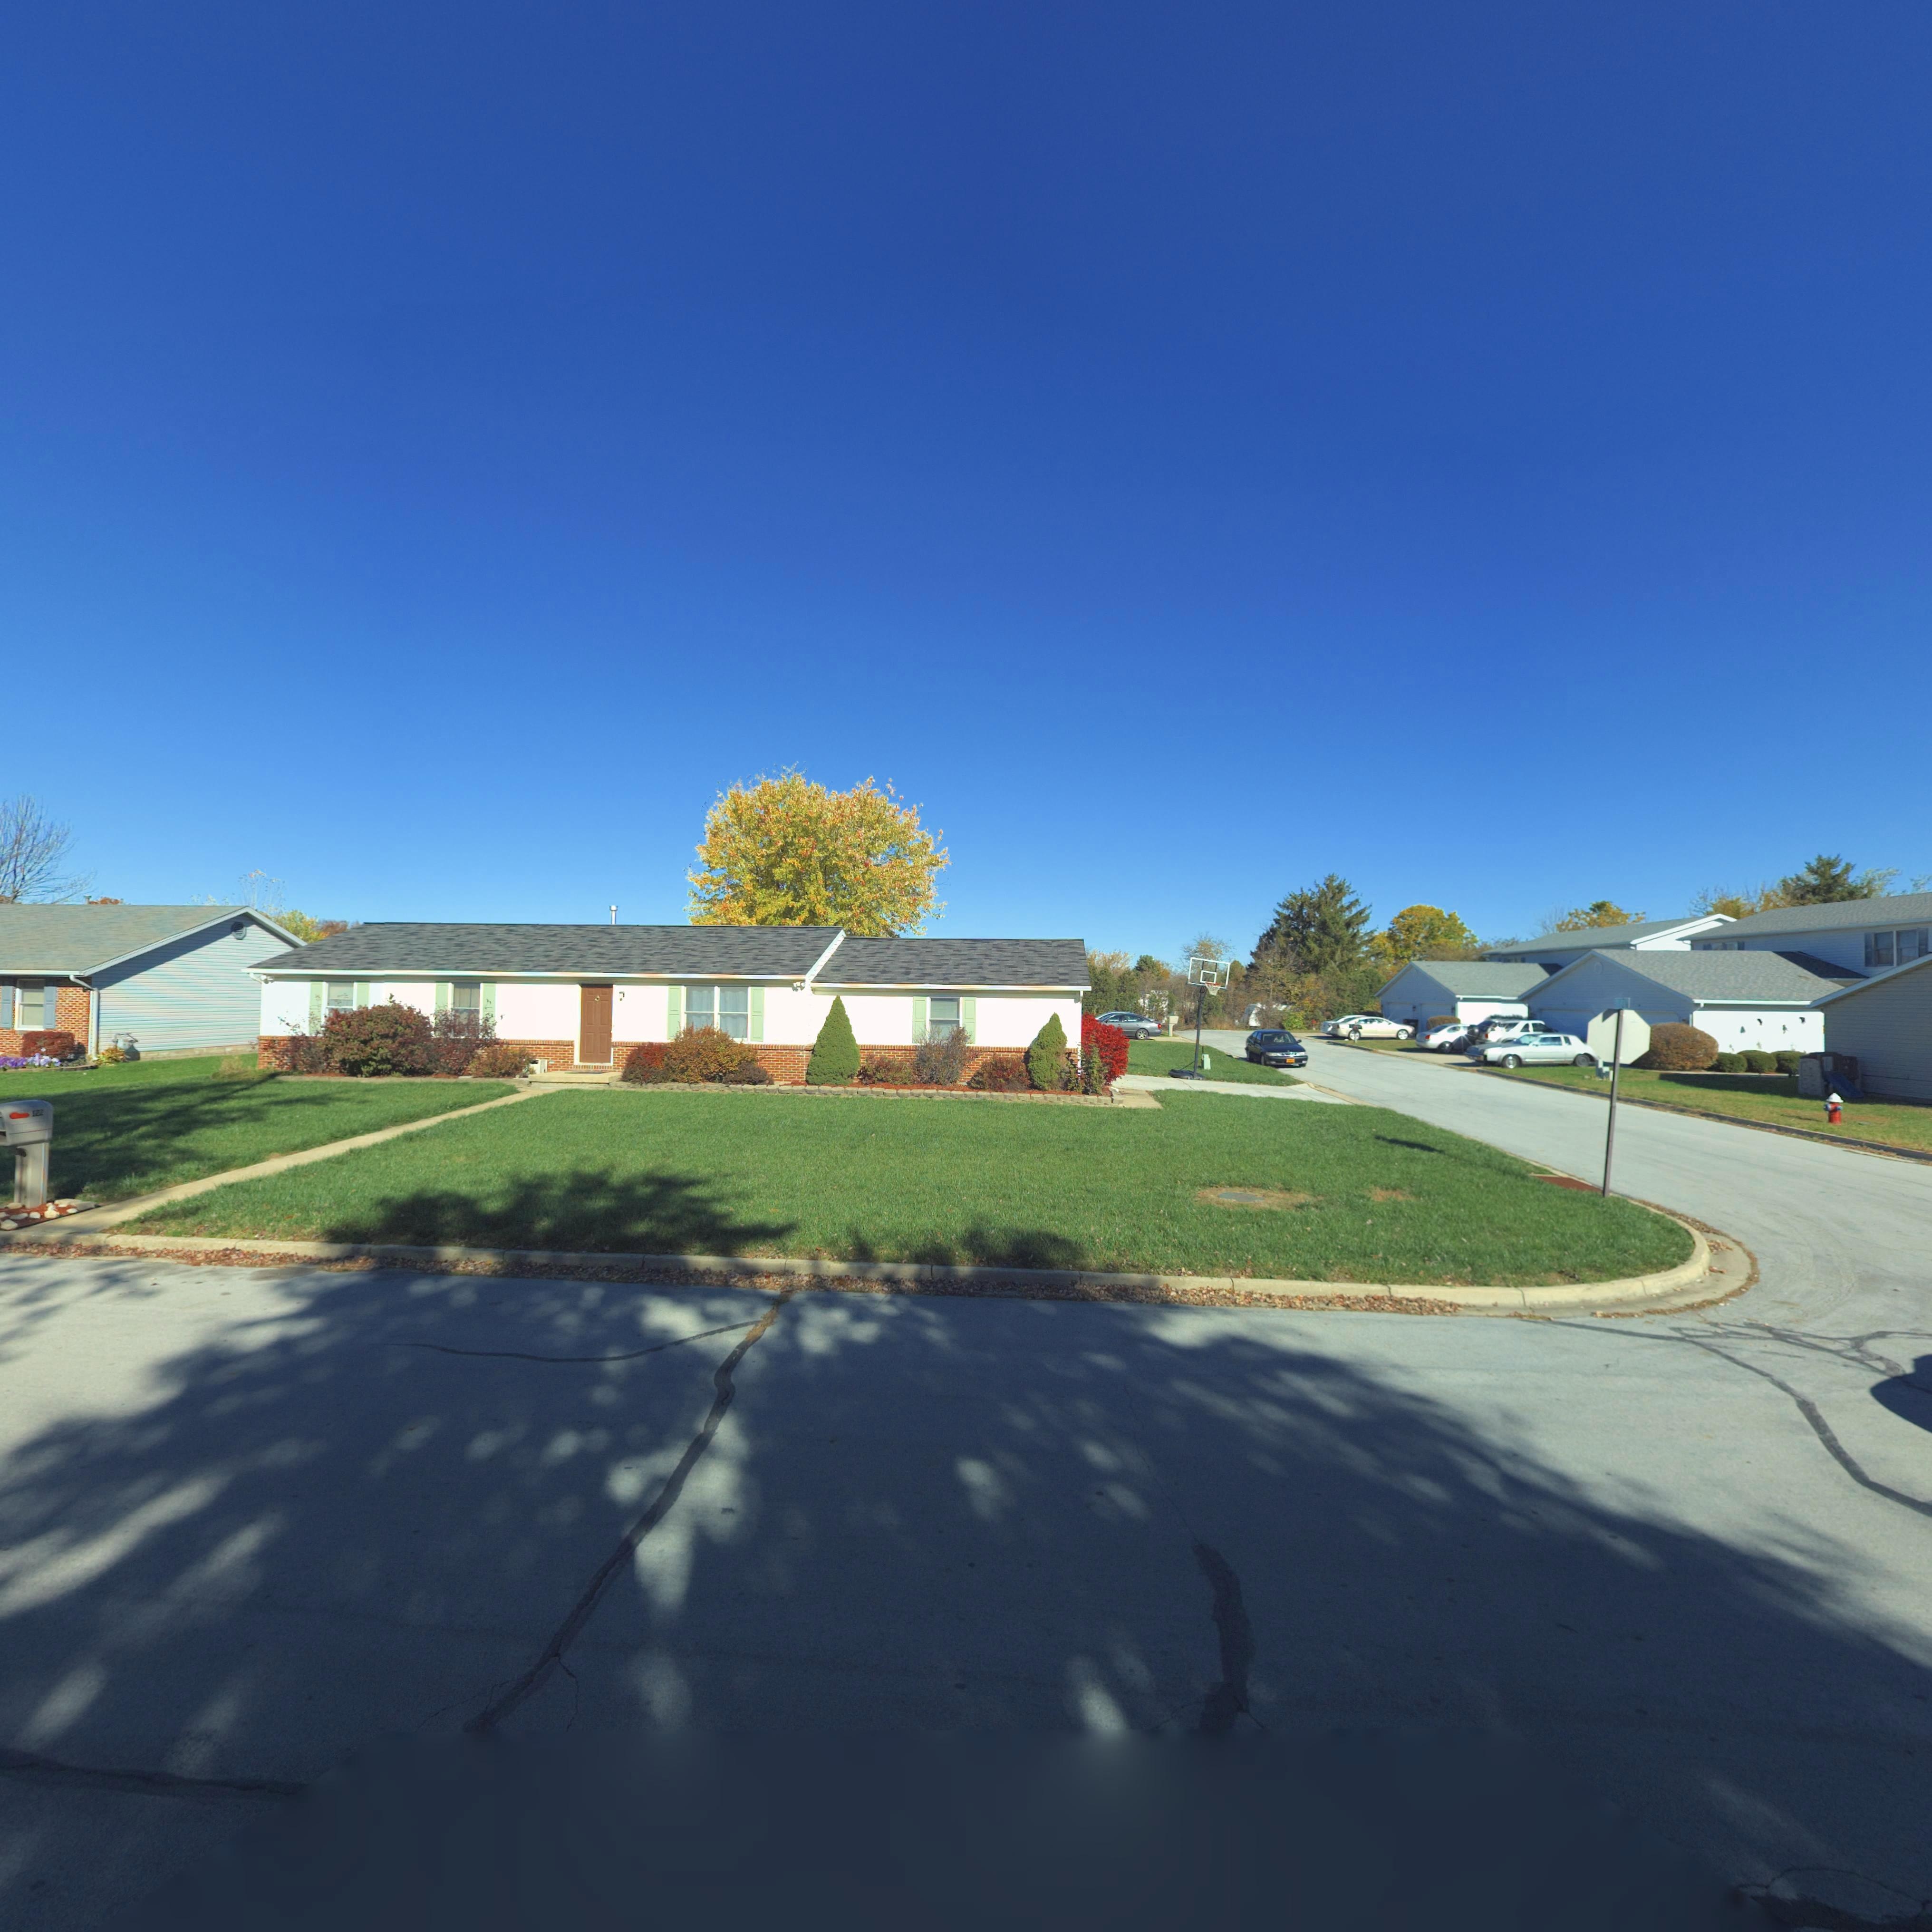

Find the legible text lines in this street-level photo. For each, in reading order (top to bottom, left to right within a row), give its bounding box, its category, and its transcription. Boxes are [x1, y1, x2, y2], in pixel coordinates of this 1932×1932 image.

[31, 1108, 44, 1117] StreetNumber: 122